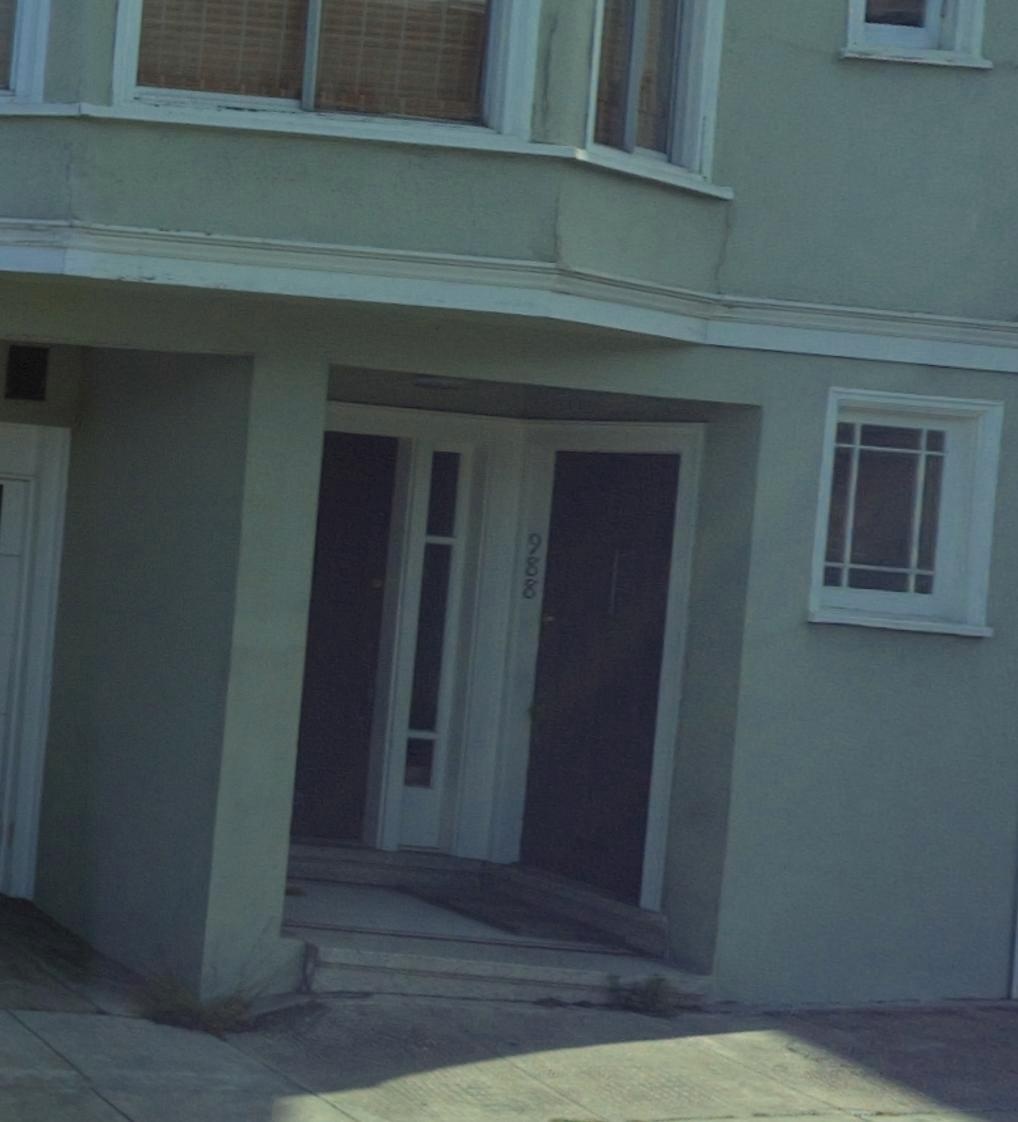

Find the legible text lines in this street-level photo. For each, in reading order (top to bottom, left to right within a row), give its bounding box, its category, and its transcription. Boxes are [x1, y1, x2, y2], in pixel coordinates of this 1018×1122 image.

[517, 529, 545, 602] StreetNumber: 988